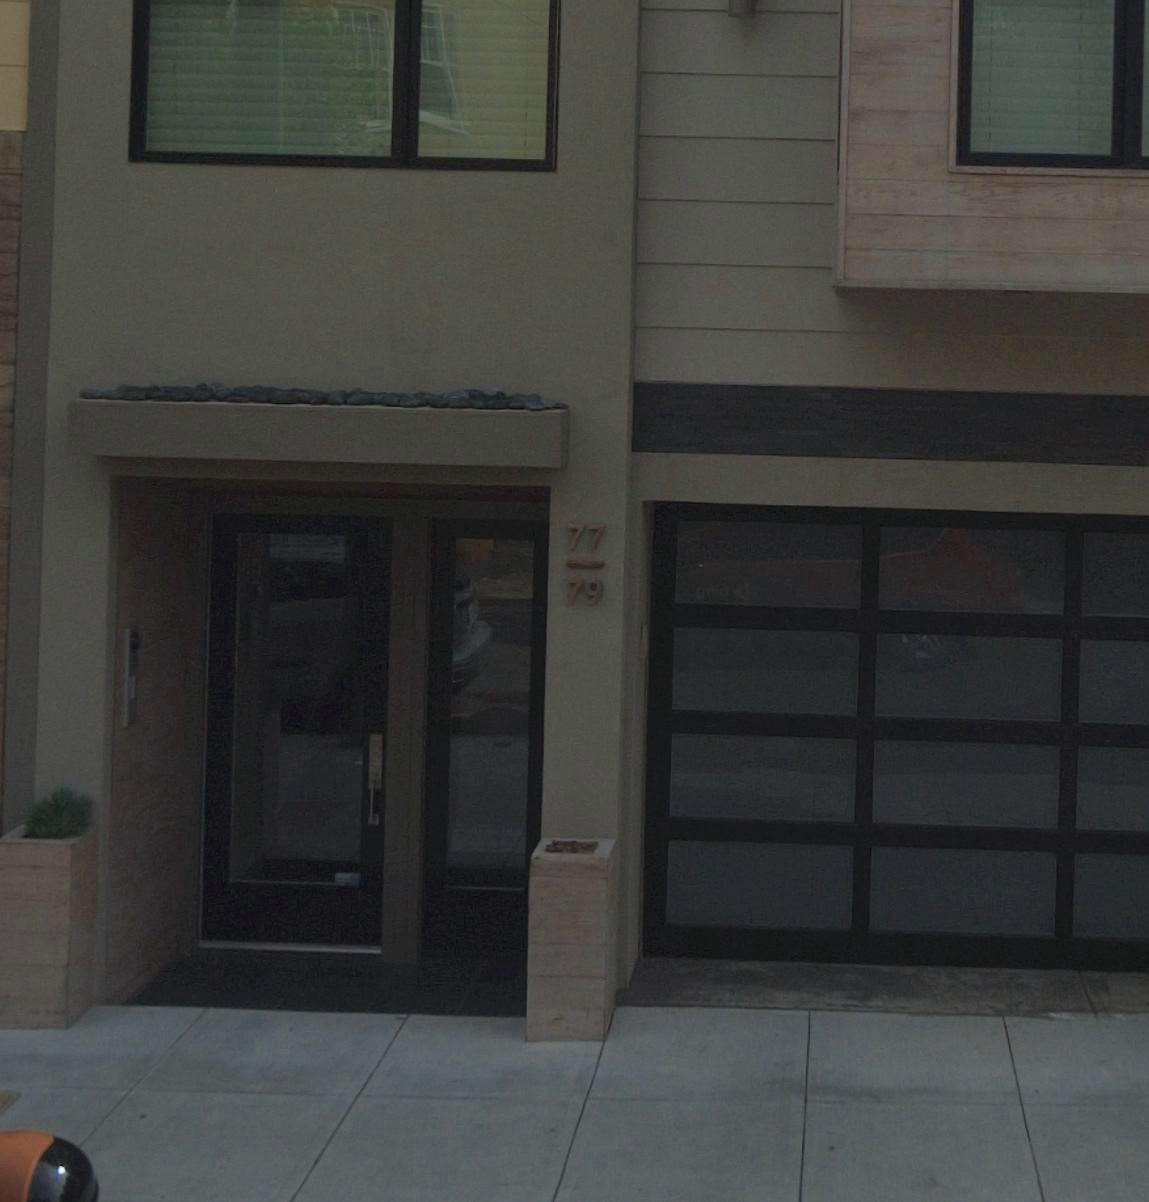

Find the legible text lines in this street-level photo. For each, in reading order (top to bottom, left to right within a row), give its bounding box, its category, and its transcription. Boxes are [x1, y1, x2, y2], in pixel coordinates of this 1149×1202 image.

[565, 522, 610, 552] StreetNumber: 77
[562, 575, 605, 608] StreetNumber: 79